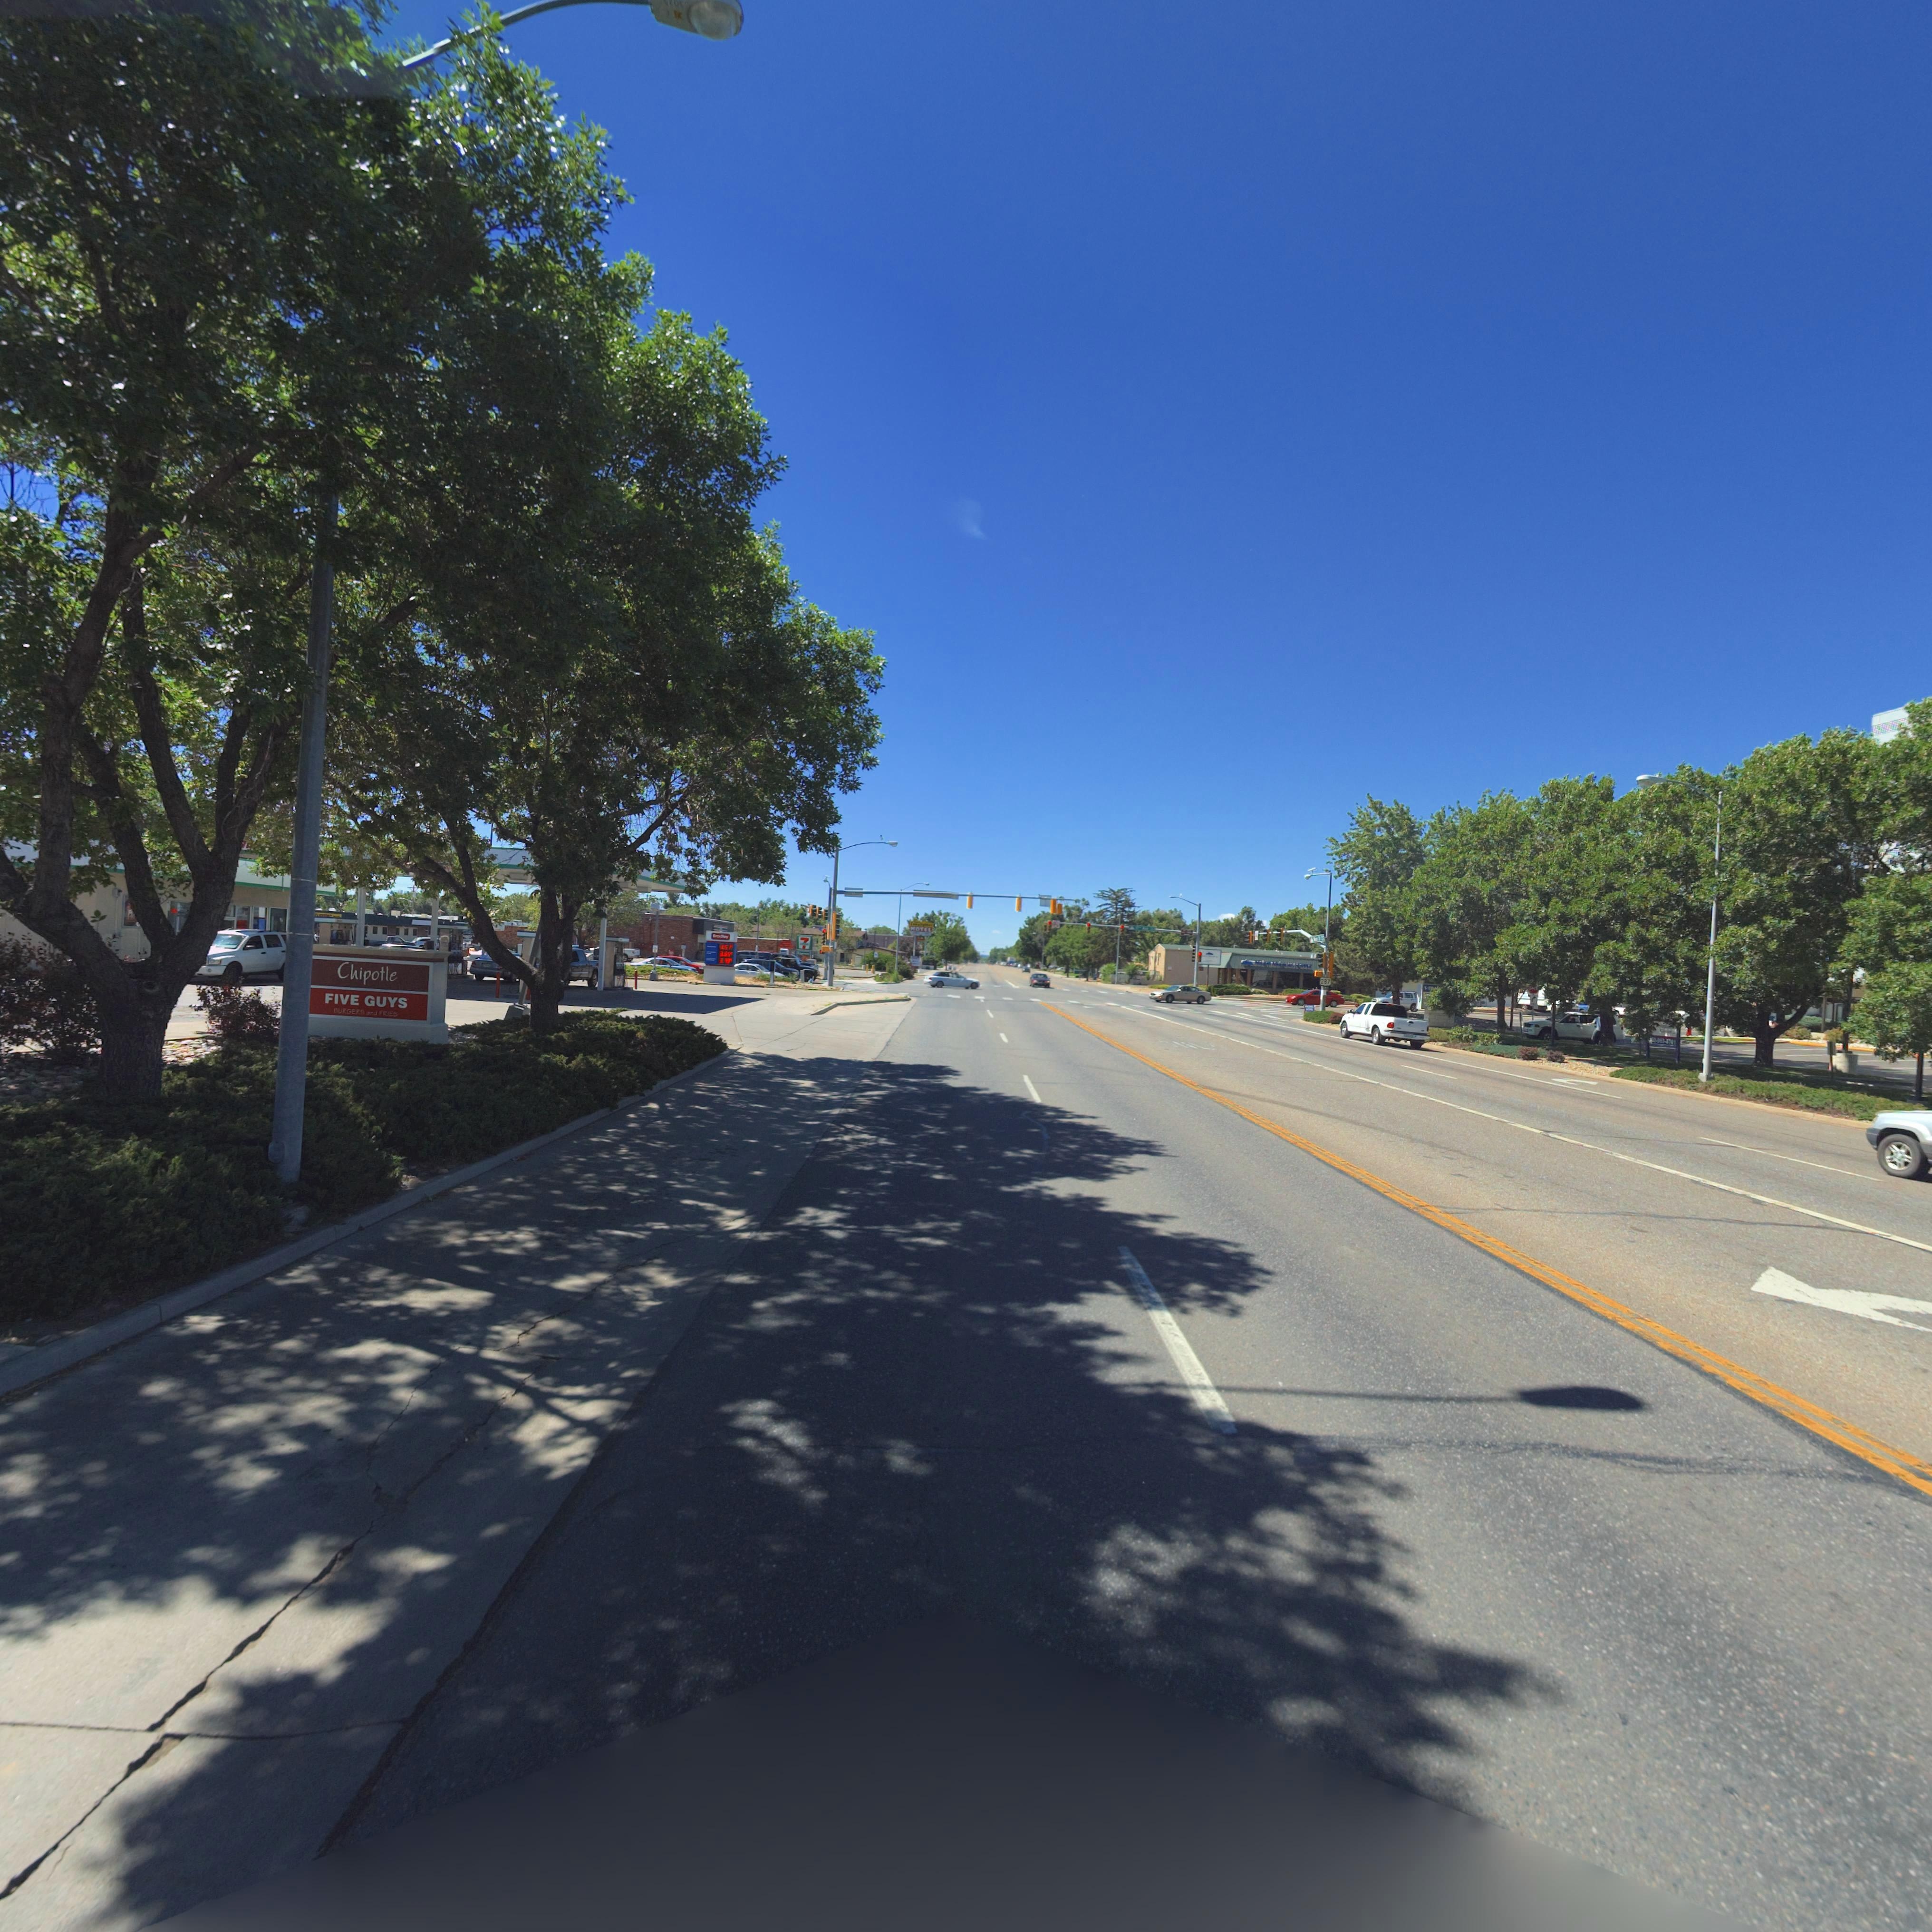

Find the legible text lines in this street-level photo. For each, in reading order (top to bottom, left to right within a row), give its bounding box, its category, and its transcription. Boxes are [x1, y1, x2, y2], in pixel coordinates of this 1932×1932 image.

[910, 922, 932, 927] BusinessName: La**l******
[910, 926, 931, 932] BusinessName: MOTEL
[712, 934, 728, 939] BusinessName: Bradley
[800, 937, 809, 949] BusinessName: 7
[1255, 960, 1313, 968] BusinessName: MA*** M****** ******
[336, 960, 399, 985] BusinessName: Chipotle
[1423, 985, 1433, 990] BusinessName: 1STB
[324, 992, 408, 1009] BusinessName: FIVE GUYS
[333, 1007, 398, 1016] BusinessName: BURGERS and FRIES